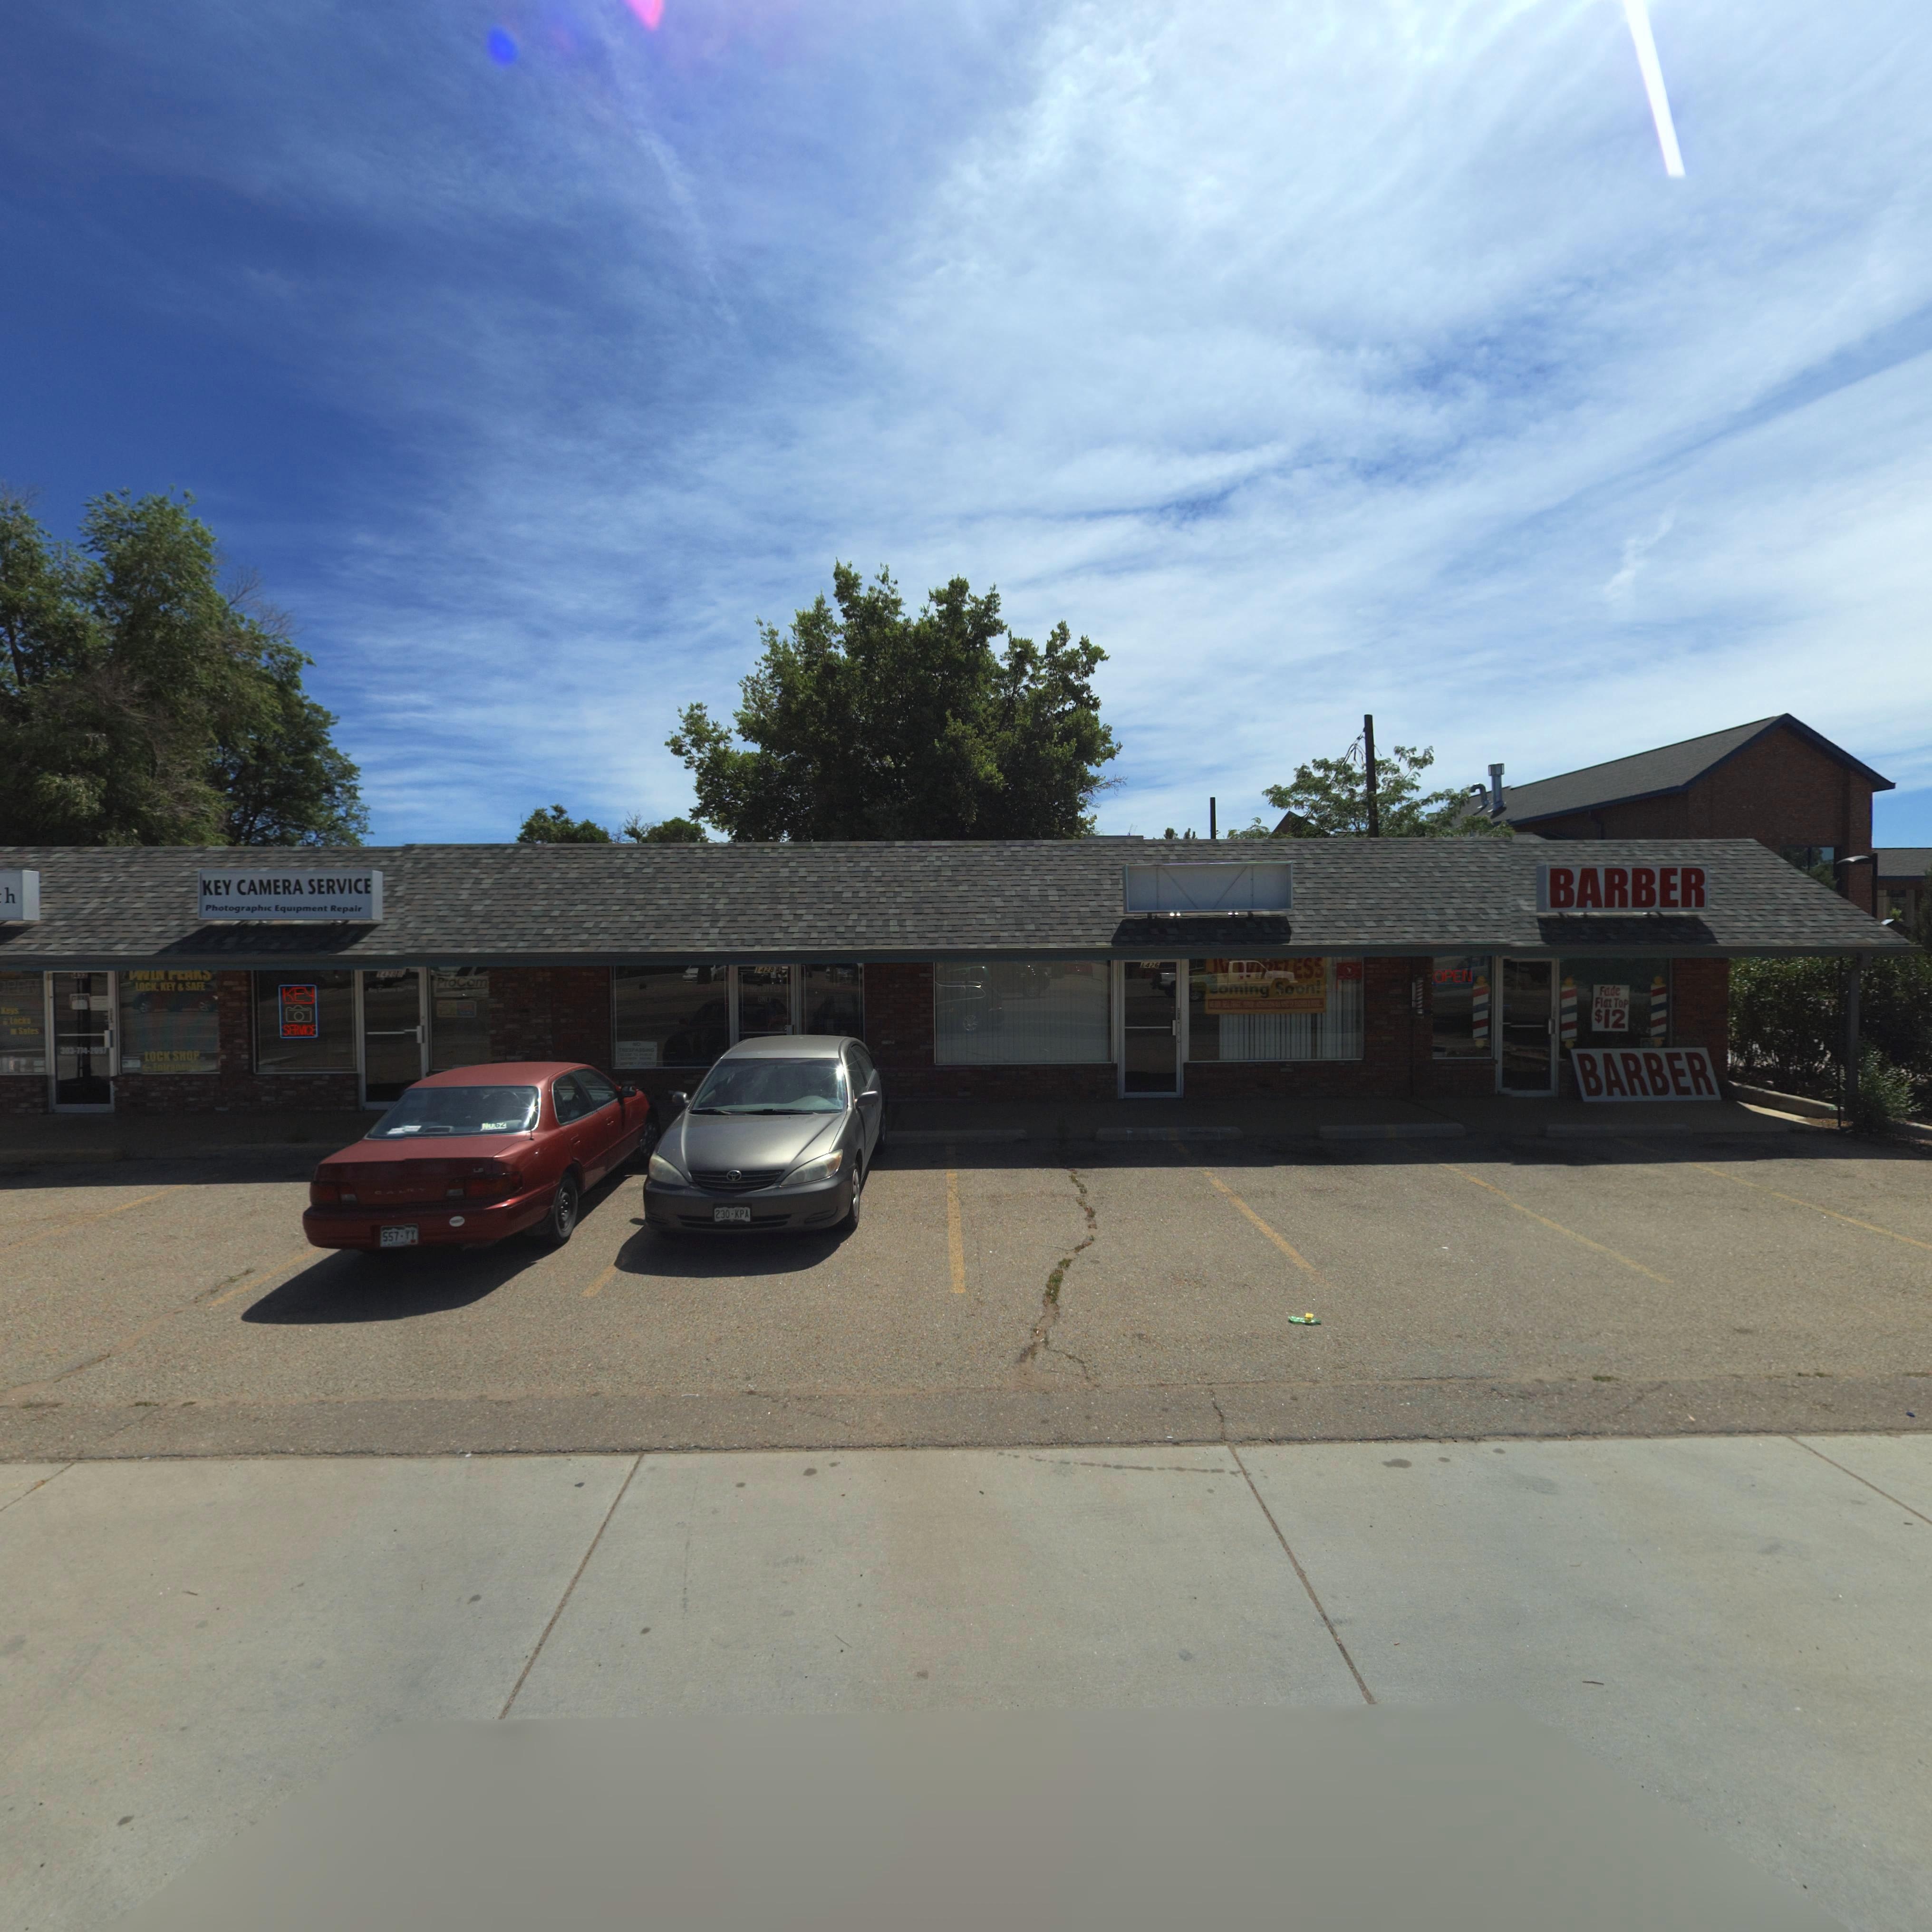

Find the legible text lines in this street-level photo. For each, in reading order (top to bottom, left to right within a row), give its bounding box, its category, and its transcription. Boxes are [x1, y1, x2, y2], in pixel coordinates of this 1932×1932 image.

[201, 877, 372, 897] BusinessName: KEY CAMERA SERVICE
[205, 904, 363, 915] BusinessName: Photographic Equipment Repair
[1140, 962, 1159, 968] StreetNumber: 1426
[755, 966, 781, 973] StreetNumber: 1428 A
[70, 972, 88, 978] StreetNumber: *432
[377, 970, 404, 977] StreetNumber: 1428 B
[436, 976, 488, 987] StreetNumber: 1428*